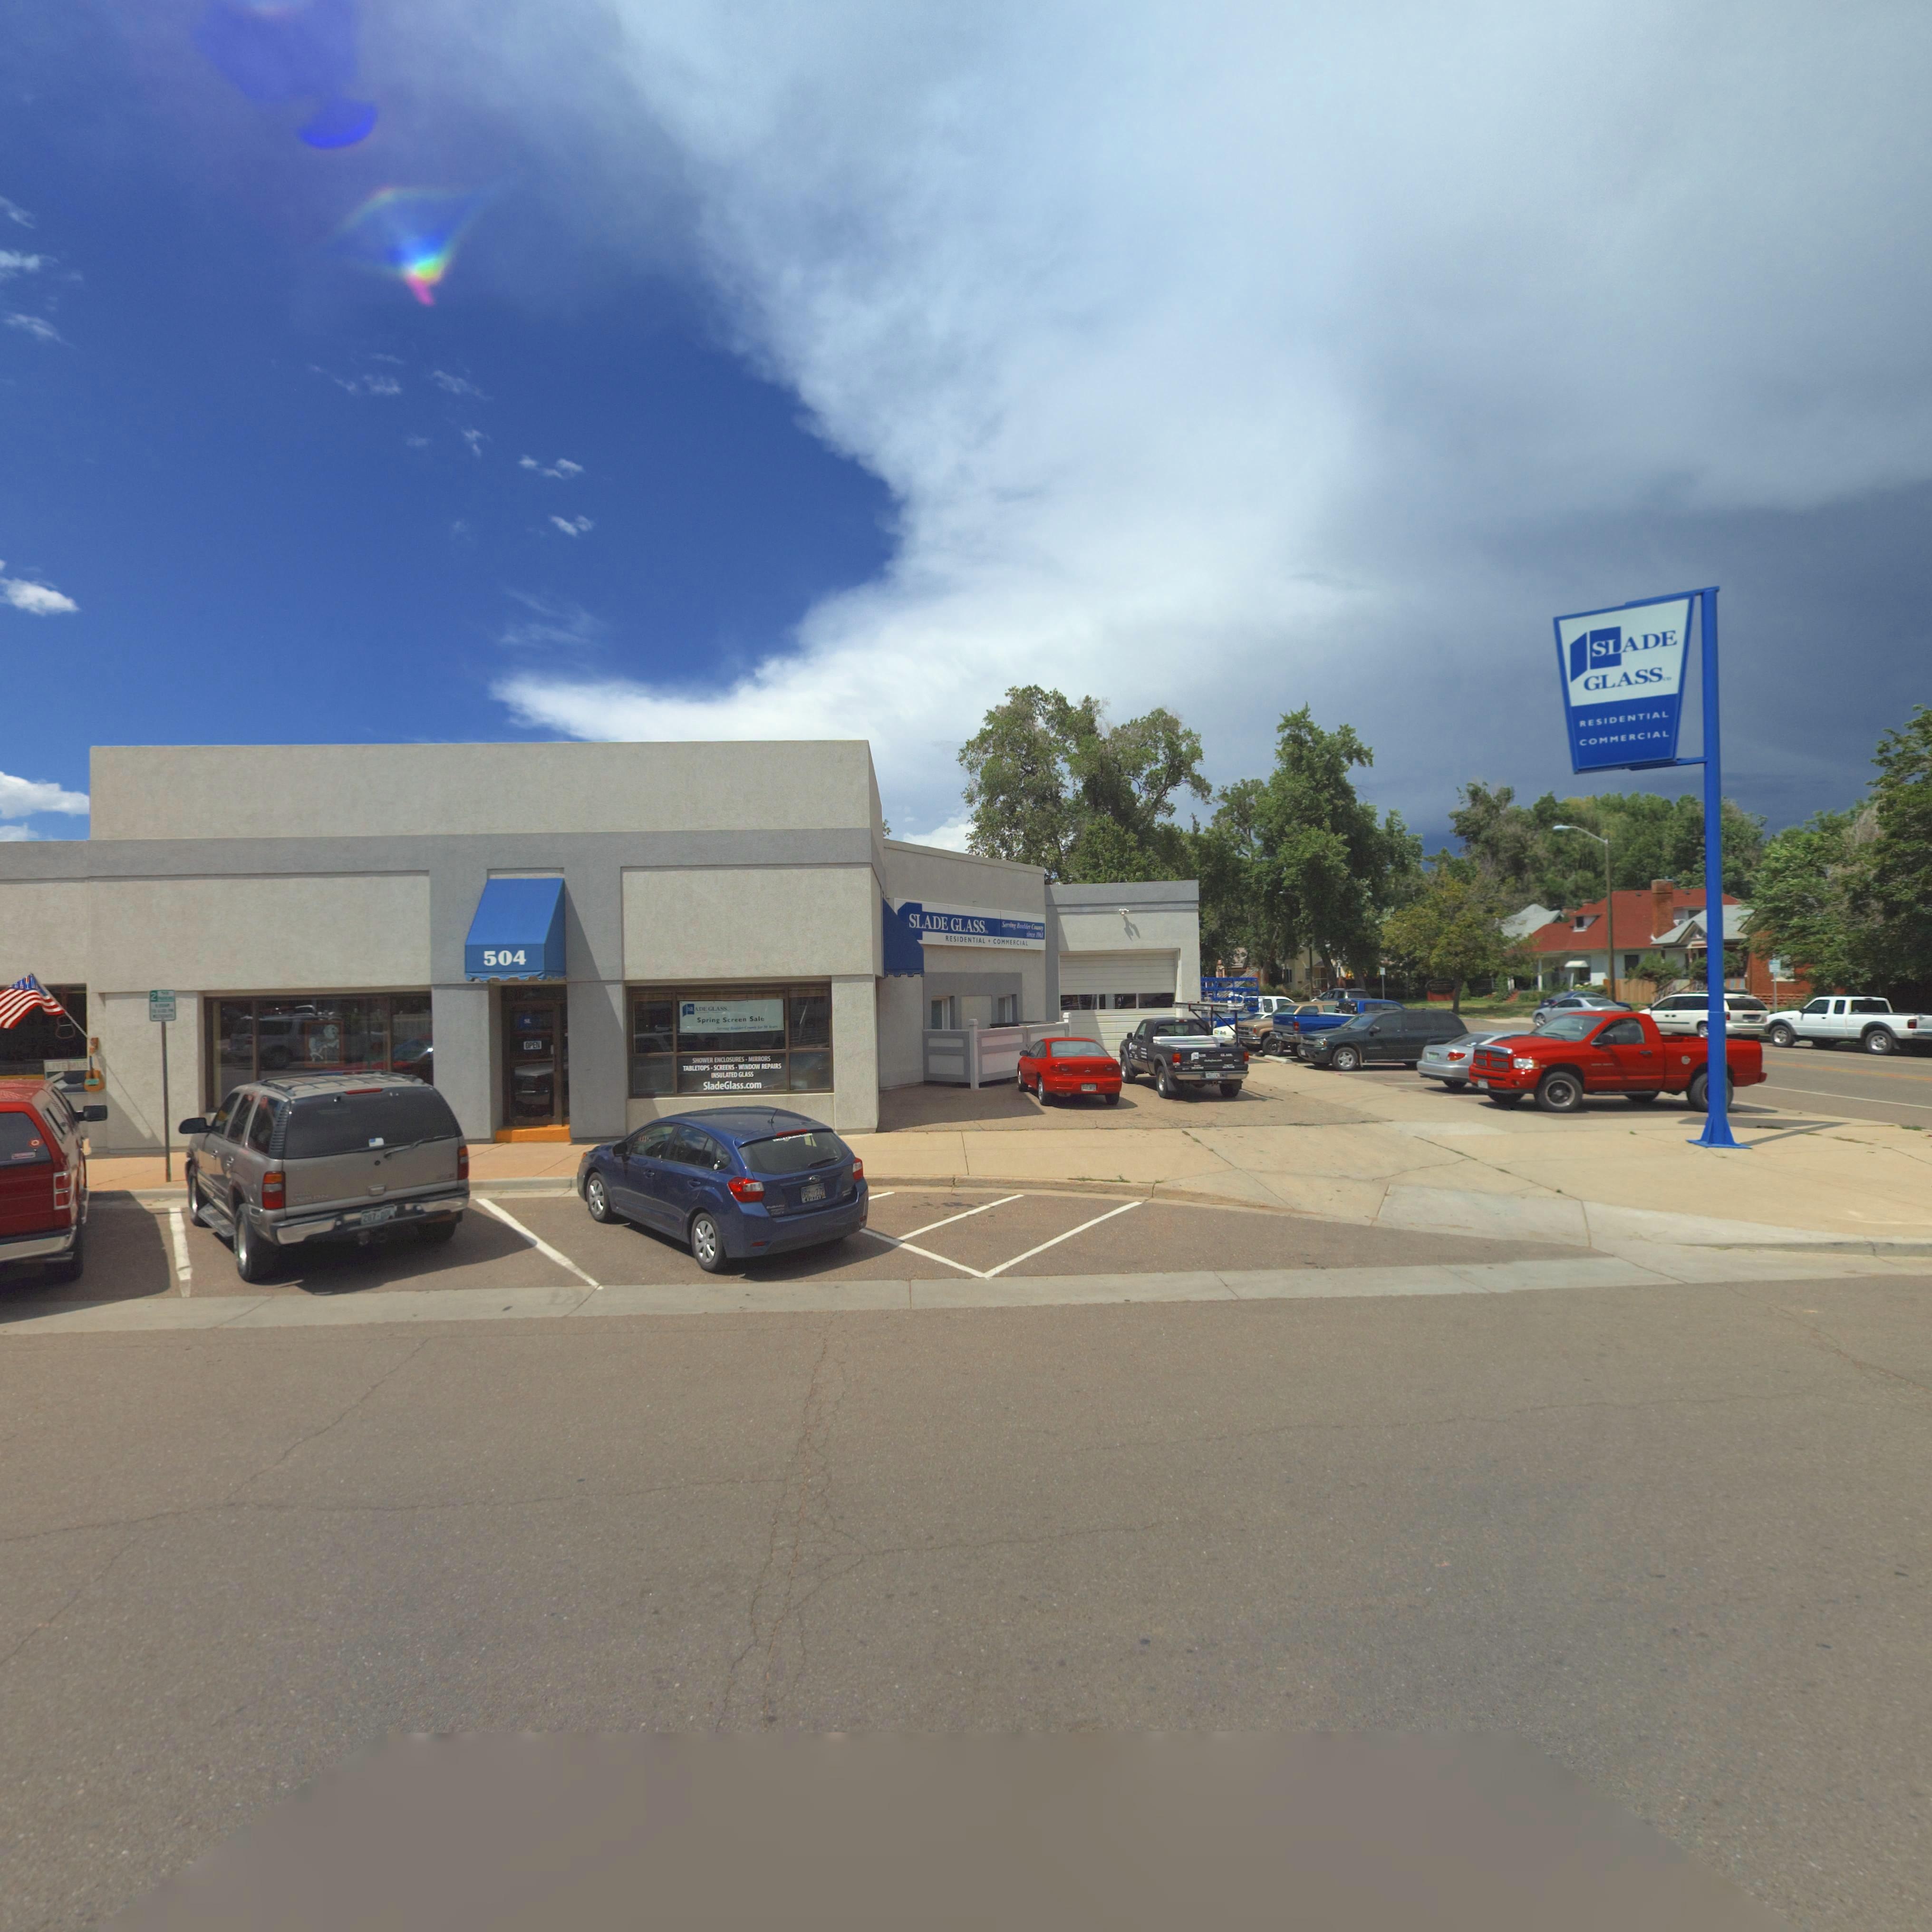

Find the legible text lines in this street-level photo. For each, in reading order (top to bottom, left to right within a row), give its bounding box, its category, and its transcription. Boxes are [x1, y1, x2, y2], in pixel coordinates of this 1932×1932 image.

[1591, 628, 1678, 657] BusinessName: SLADE
[1583, 666, 1663, 691] BusinessName: GLASS
[908, 913, 985, 933] BusinessName: SLADE GLASS
[483, 949, 526, 966] StreetNumber: 504
[686, 1006, 727, 1011] BusinessName: SLADE GLASS
[523, 1018, 531, 1024] BusinessName: SL